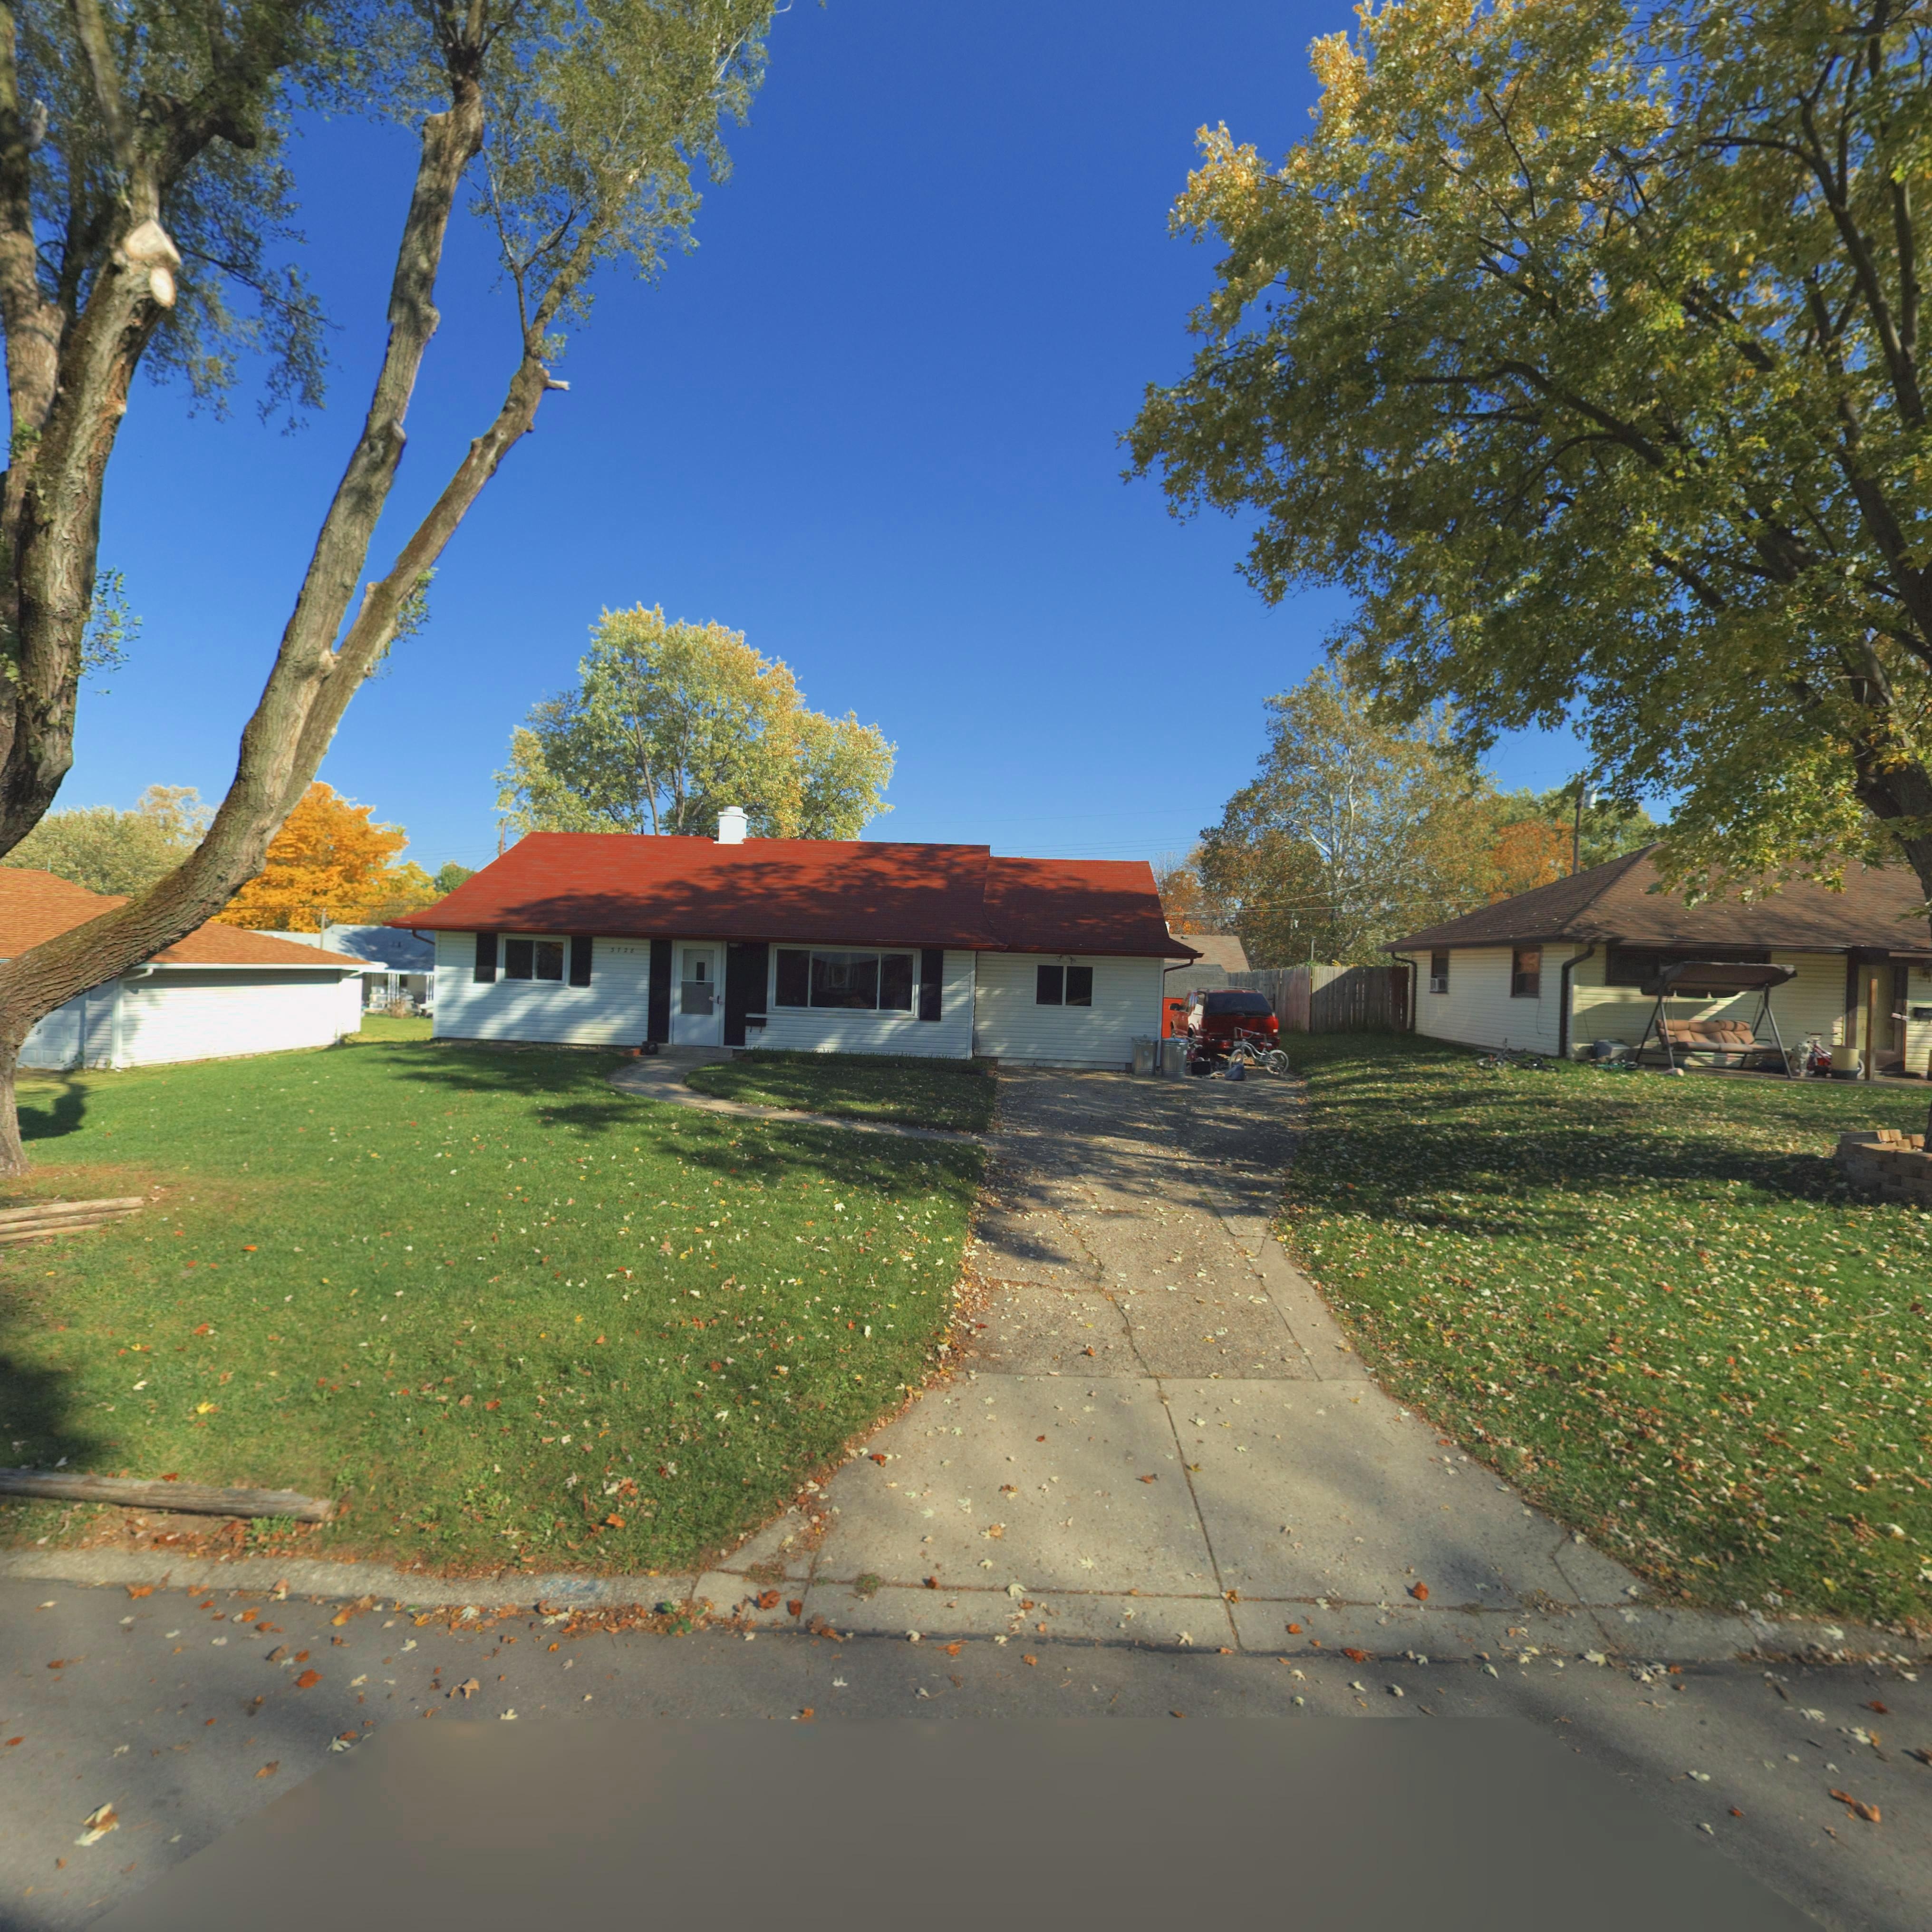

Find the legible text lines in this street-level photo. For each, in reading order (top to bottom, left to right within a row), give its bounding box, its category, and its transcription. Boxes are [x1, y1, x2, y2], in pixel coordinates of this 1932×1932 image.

[609, 946, 637, 955] StreetNumber: 3728